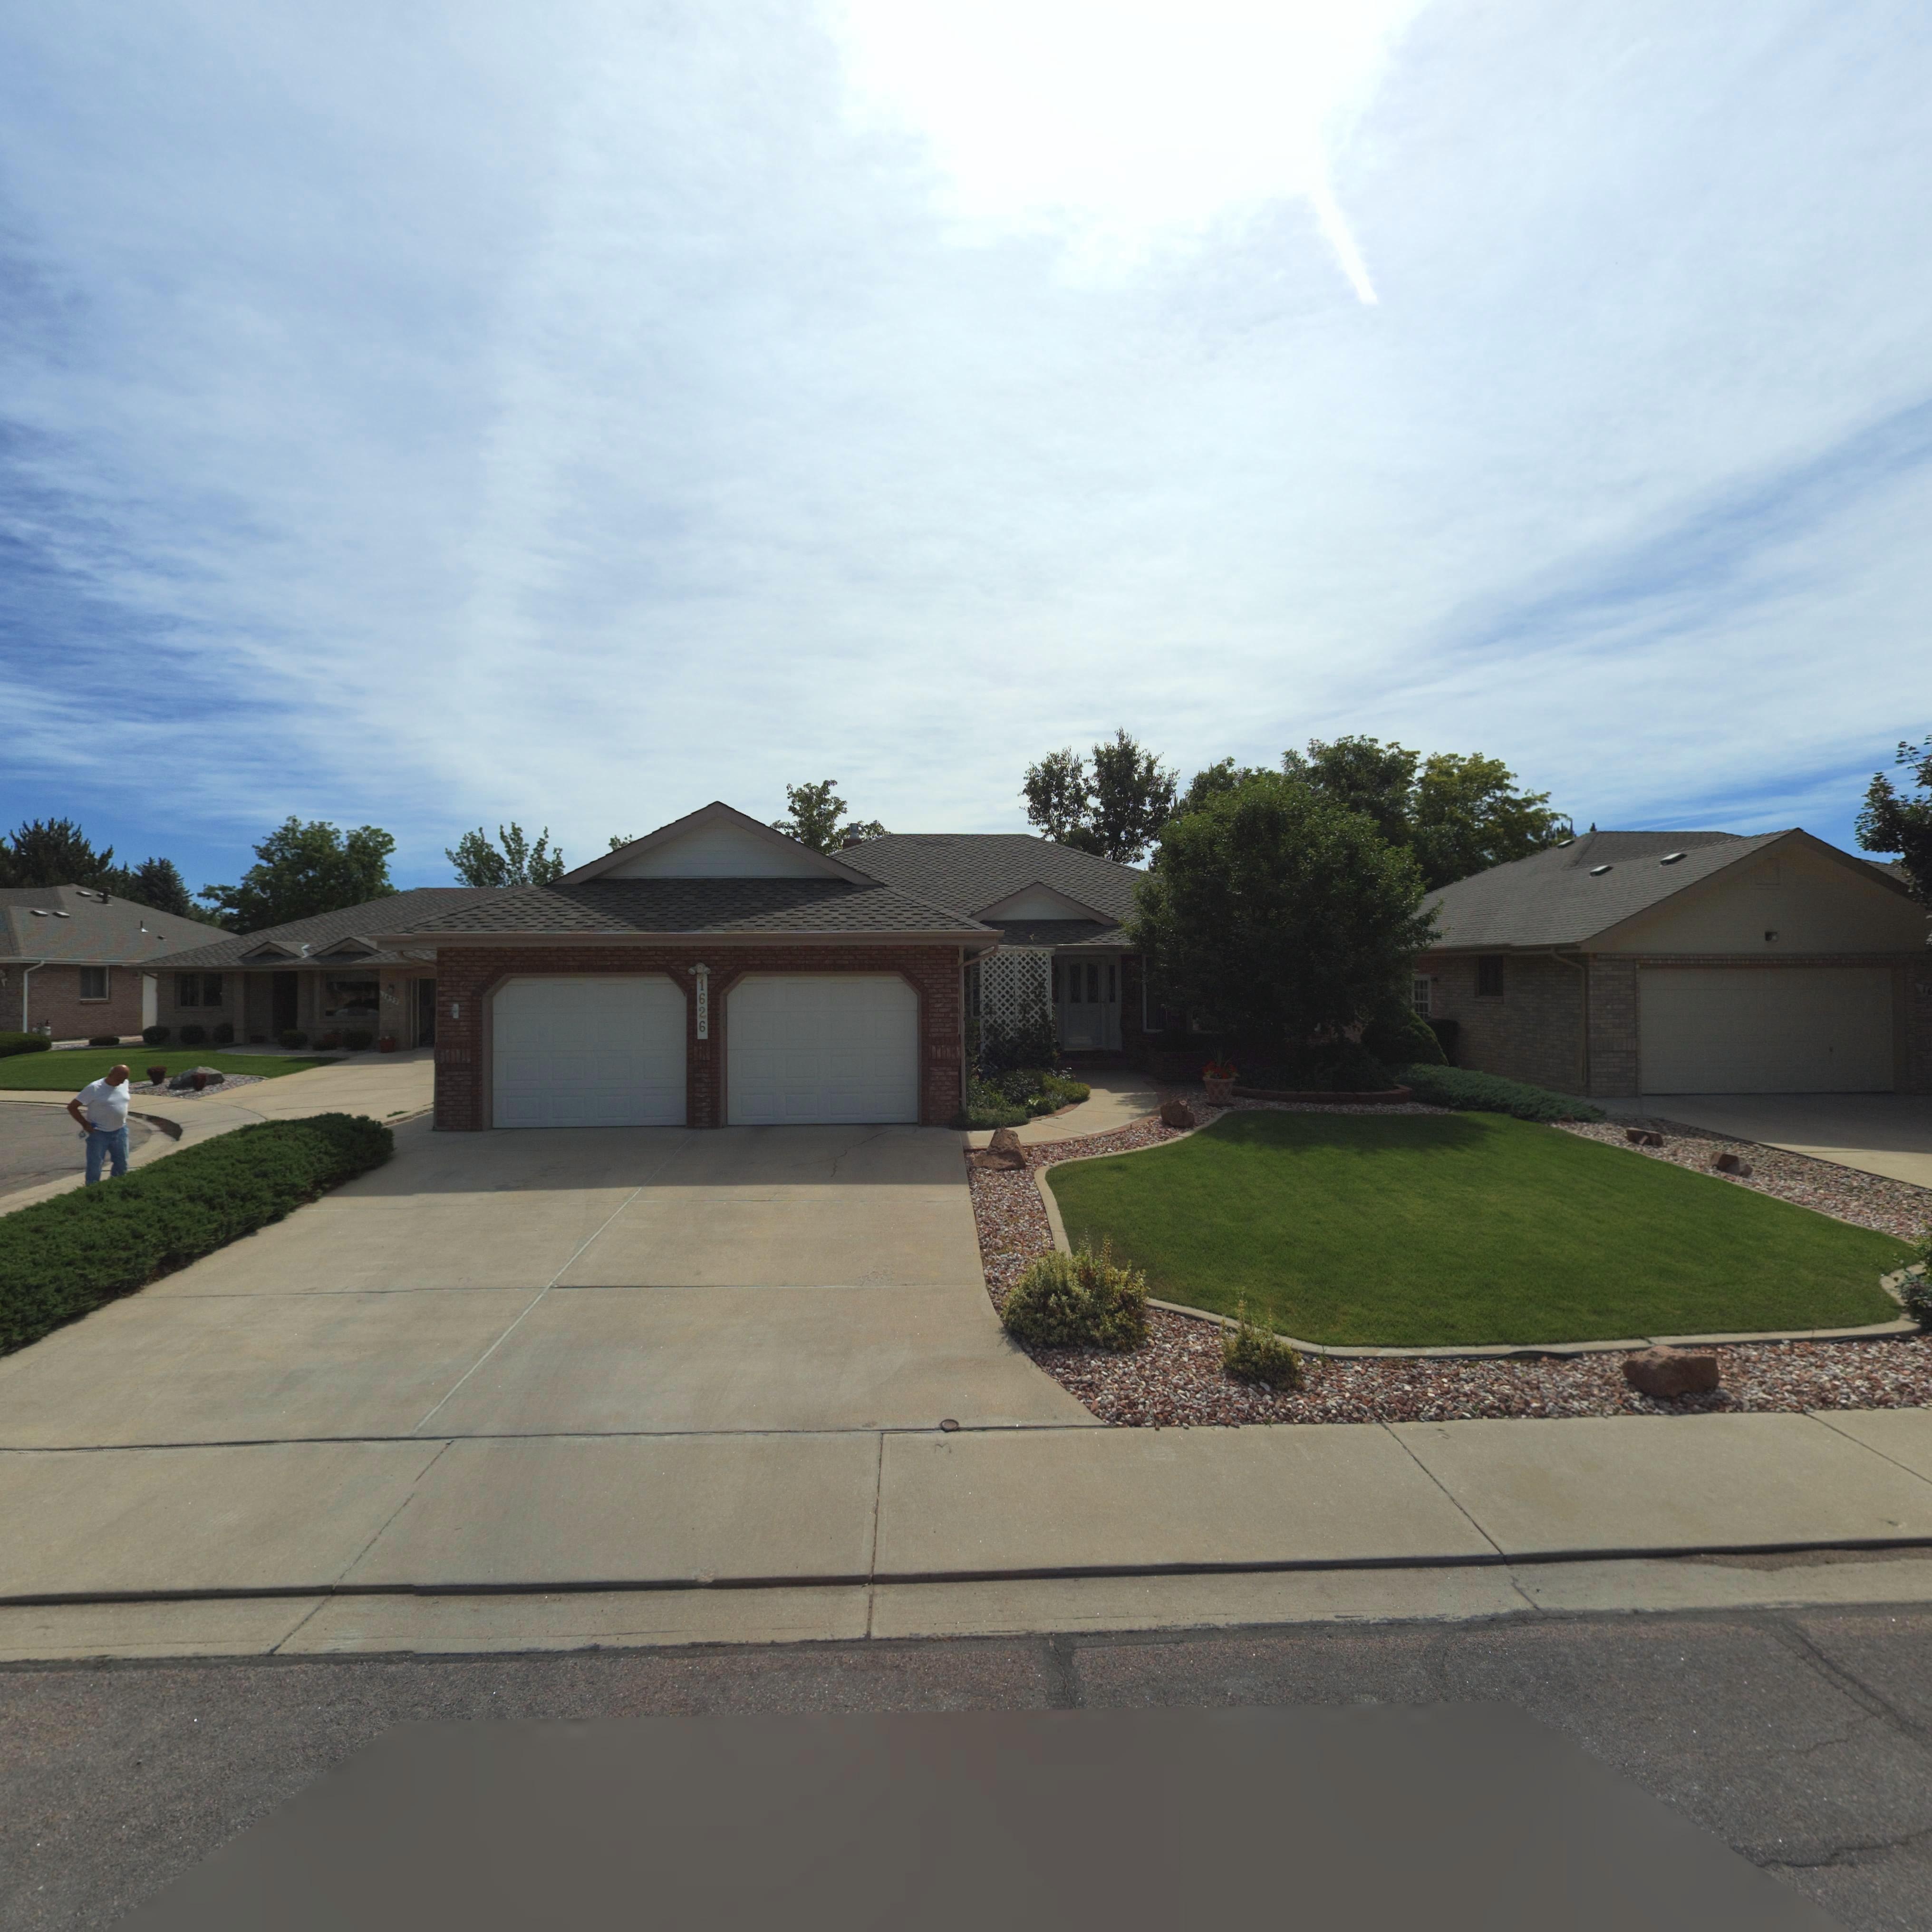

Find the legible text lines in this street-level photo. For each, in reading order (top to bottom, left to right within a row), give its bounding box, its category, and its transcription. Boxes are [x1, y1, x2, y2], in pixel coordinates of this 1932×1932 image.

[1922, 985, 1925, 994] StreetNumber: 1
[383, 992, 397, 1003] StreetNumber: 1*32
[698, 978, 706, 1032] StreetNumber: 1626